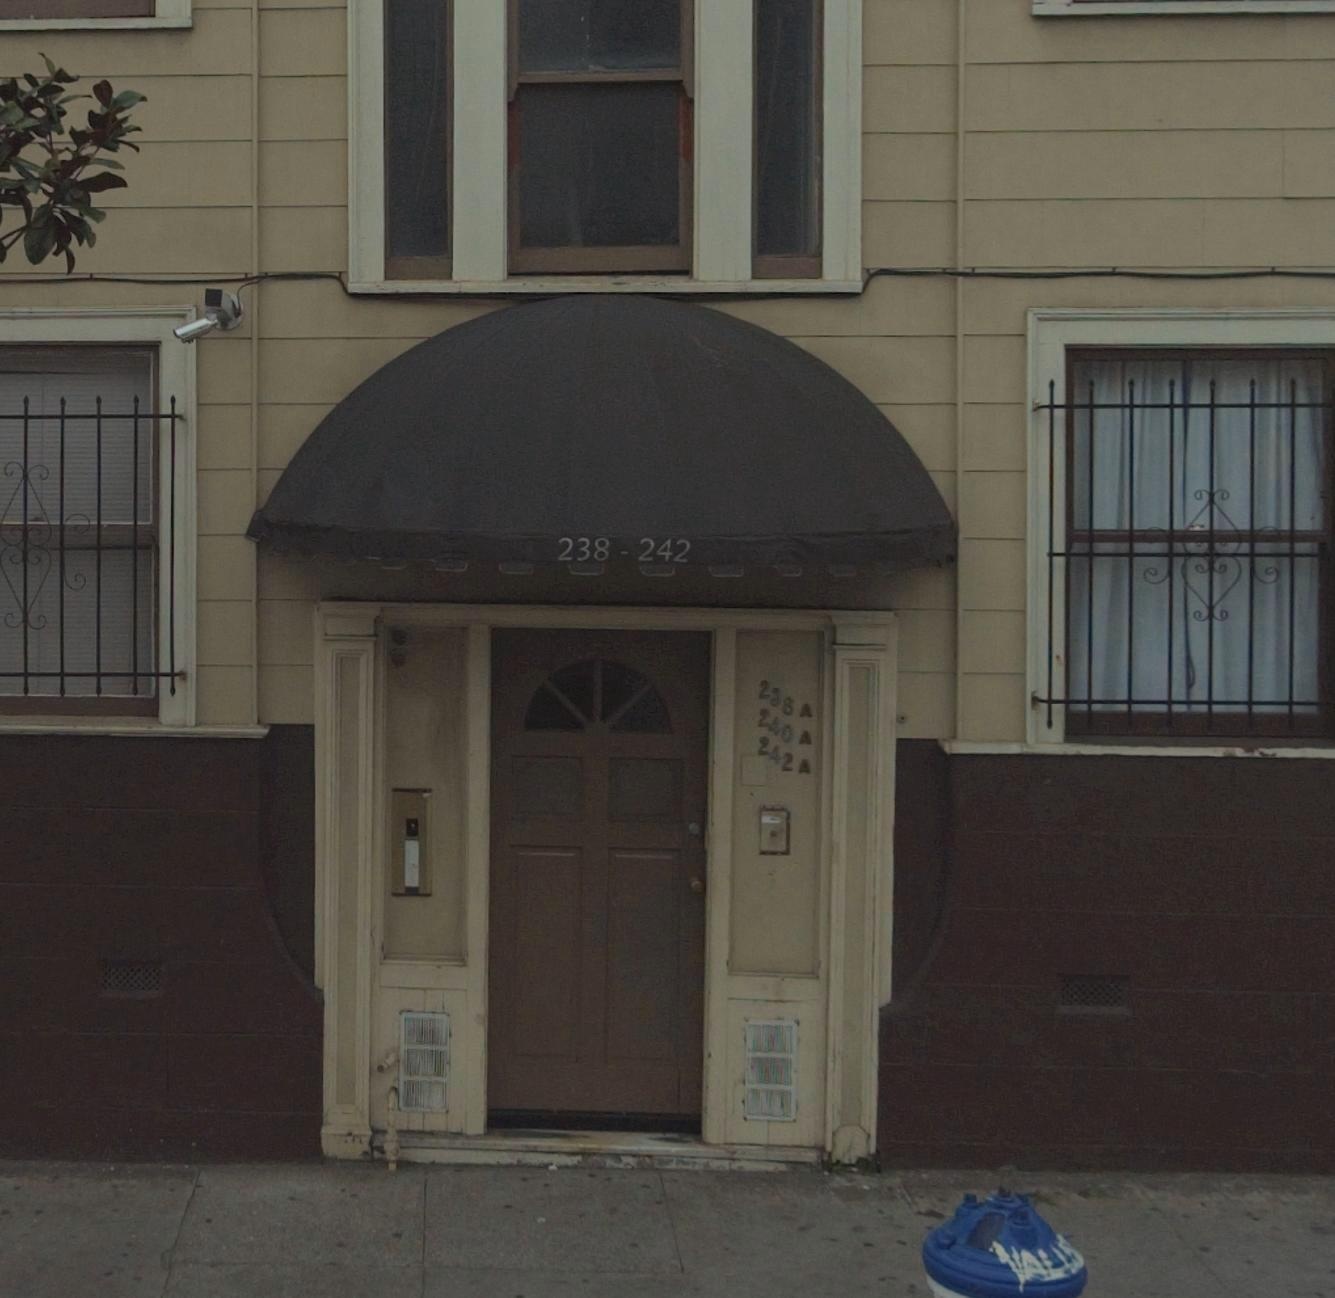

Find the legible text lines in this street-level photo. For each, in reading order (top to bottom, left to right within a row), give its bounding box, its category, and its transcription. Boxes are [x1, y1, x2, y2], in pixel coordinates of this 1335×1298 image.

[554, 535, 612, 563] StreetNumber: 238
[636, 535, 692, 564] StreetNumber: 242
[756, 678, 815, 720] StreetNumber: 238A
[753, 703, 817, 748] StreetNumber: 240A
[753, 731, 816, 778] StreetNumber: 242A